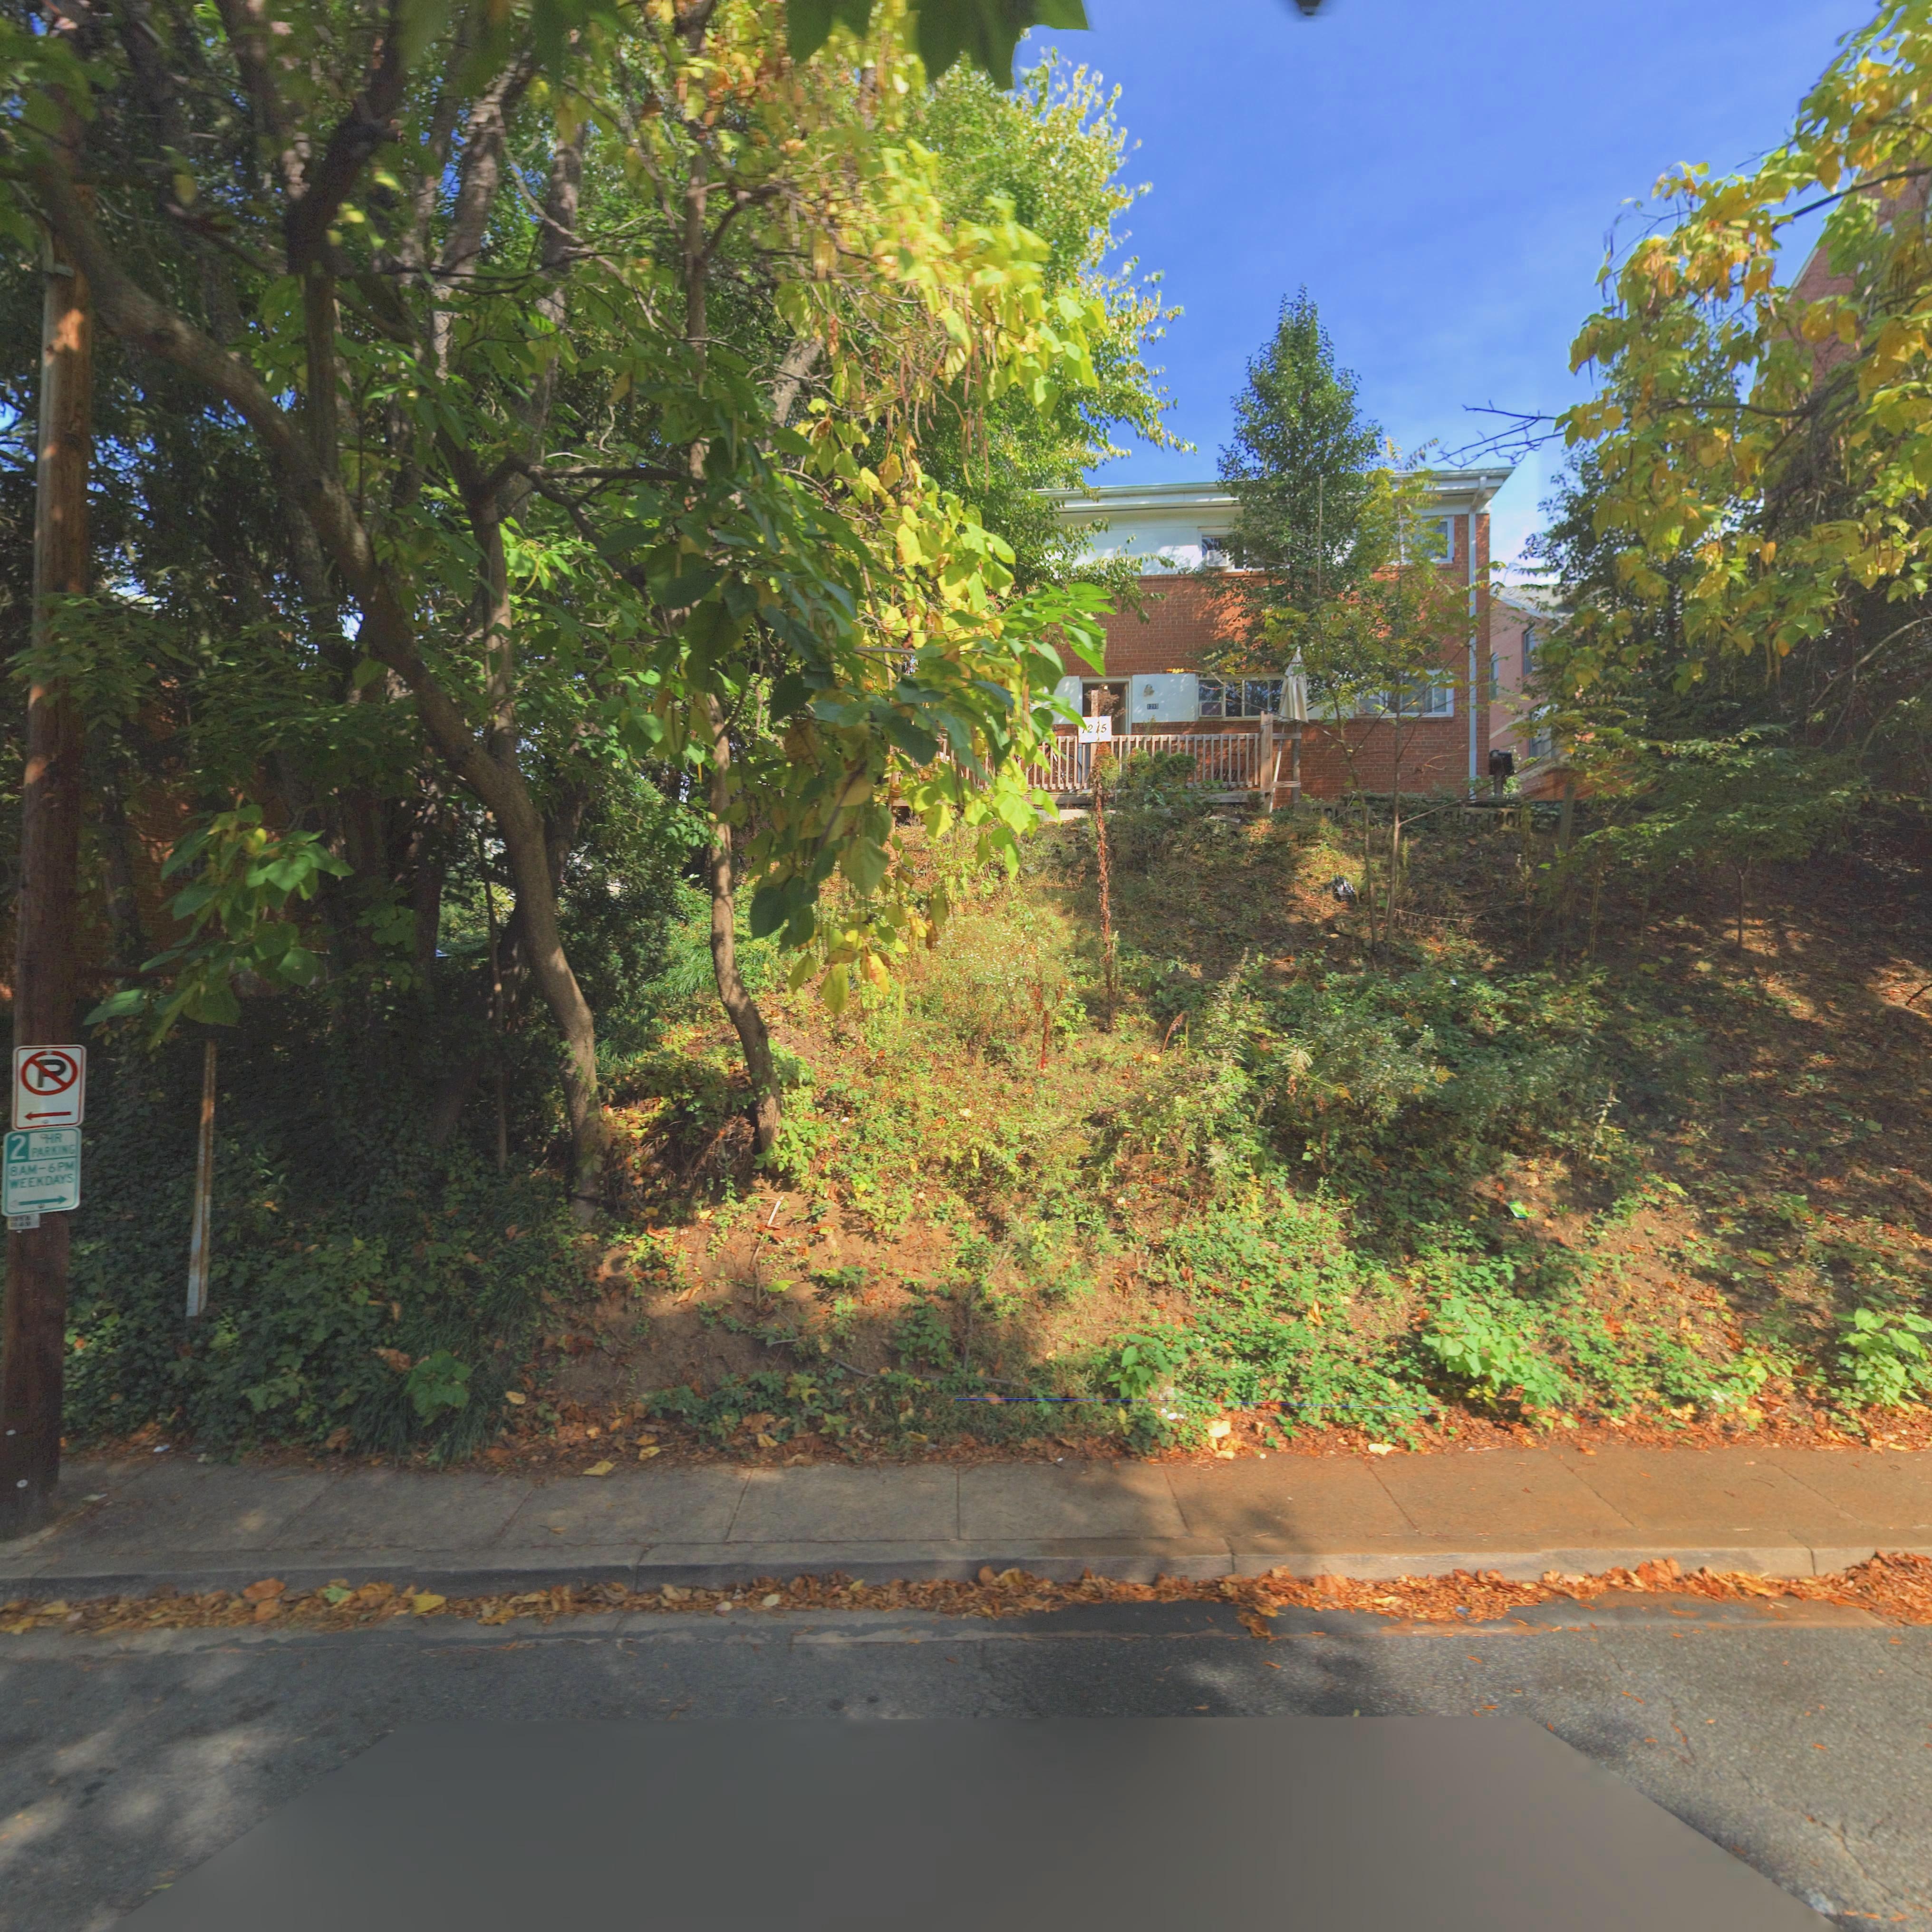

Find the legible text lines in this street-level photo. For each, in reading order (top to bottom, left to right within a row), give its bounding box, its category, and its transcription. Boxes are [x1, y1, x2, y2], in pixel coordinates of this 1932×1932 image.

[1147, 704, 1159, 709] StreetNumber: 1215
[1081, 723, 1107, 734] StreetNumber: 1215
[45, 1133, 63, 1144] None: HR
[9, 1134, 28, 1161] None: 2
[30, 1143, 77, 1159] None: PARKING
[9, 1159, 76, 1178] None: 8AM-6PM
[8, 1173, 75, 1189] None: WEEKDAYS